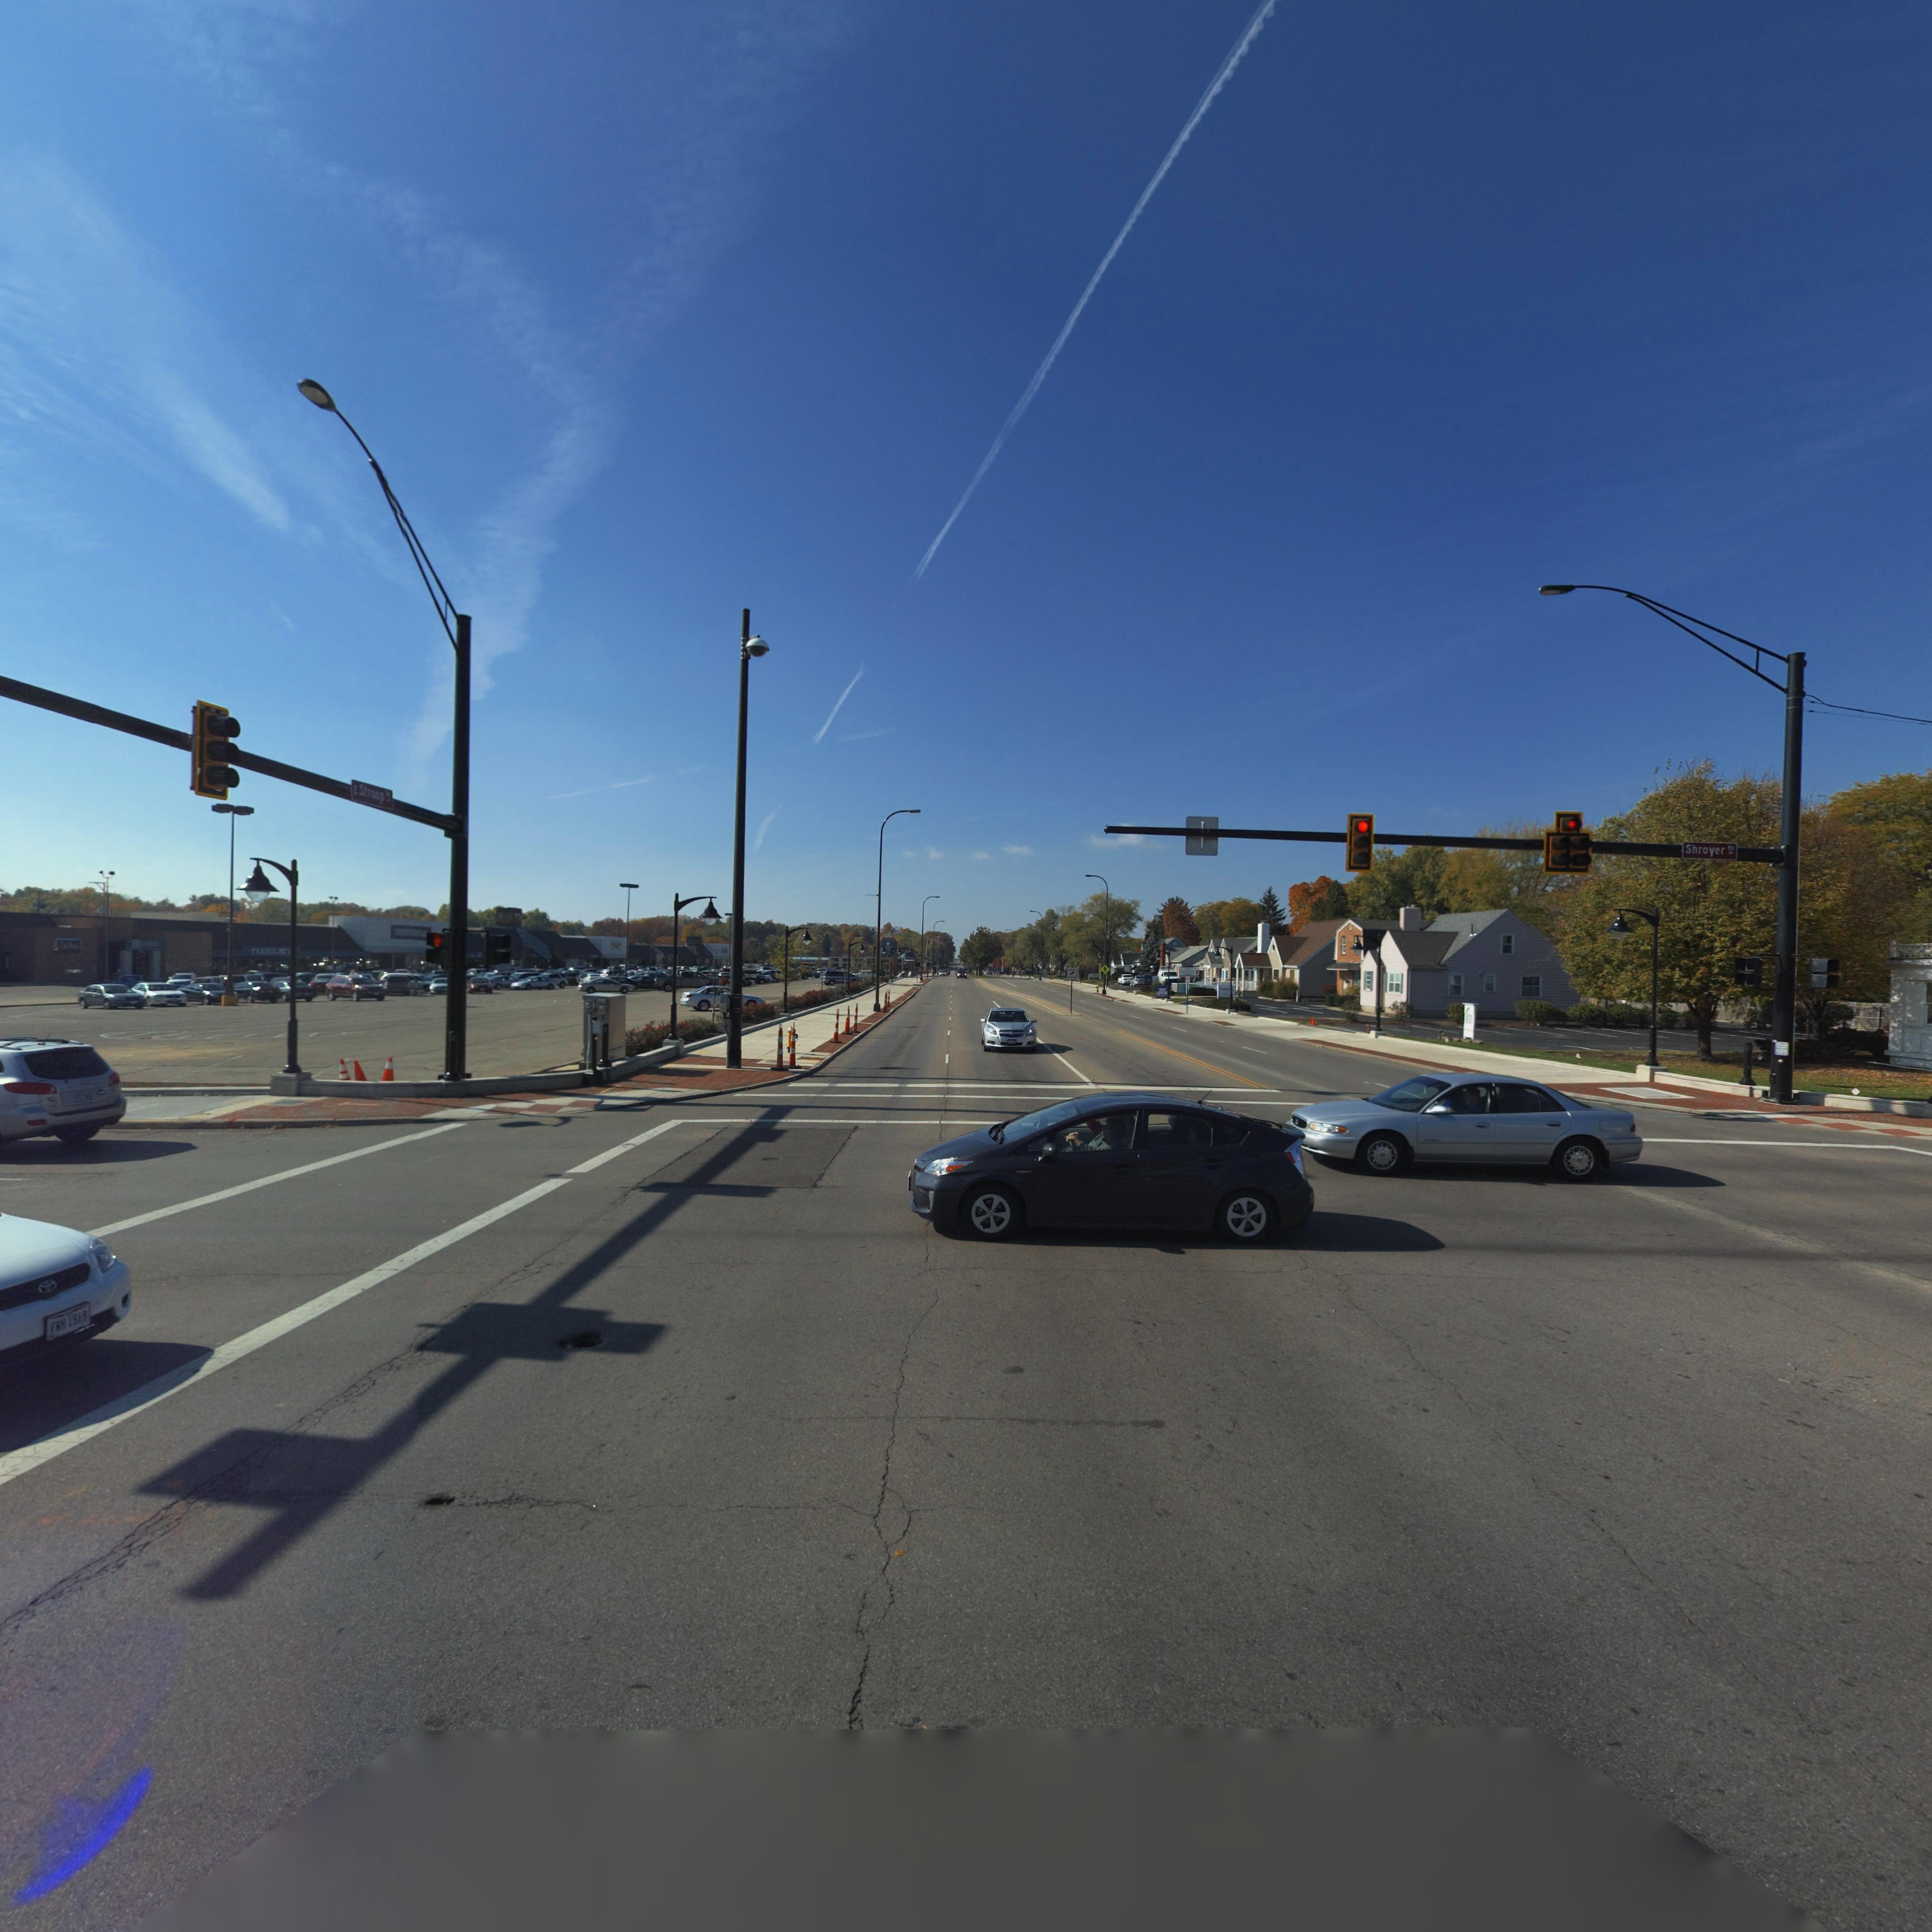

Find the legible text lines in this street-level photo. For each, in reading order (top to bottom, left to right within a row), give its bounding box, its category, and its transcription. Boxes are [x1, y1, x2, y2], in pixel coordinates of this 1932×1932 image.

[352, 782, 386, 806] StreetName: E Stroop
[1685, 843, 1726, 858] StreetName: Shroyer
[251, 947, 287, 955] BusinessName: T*ADE* JOE
[49, 1309, 88, 1335] None: FW**1919